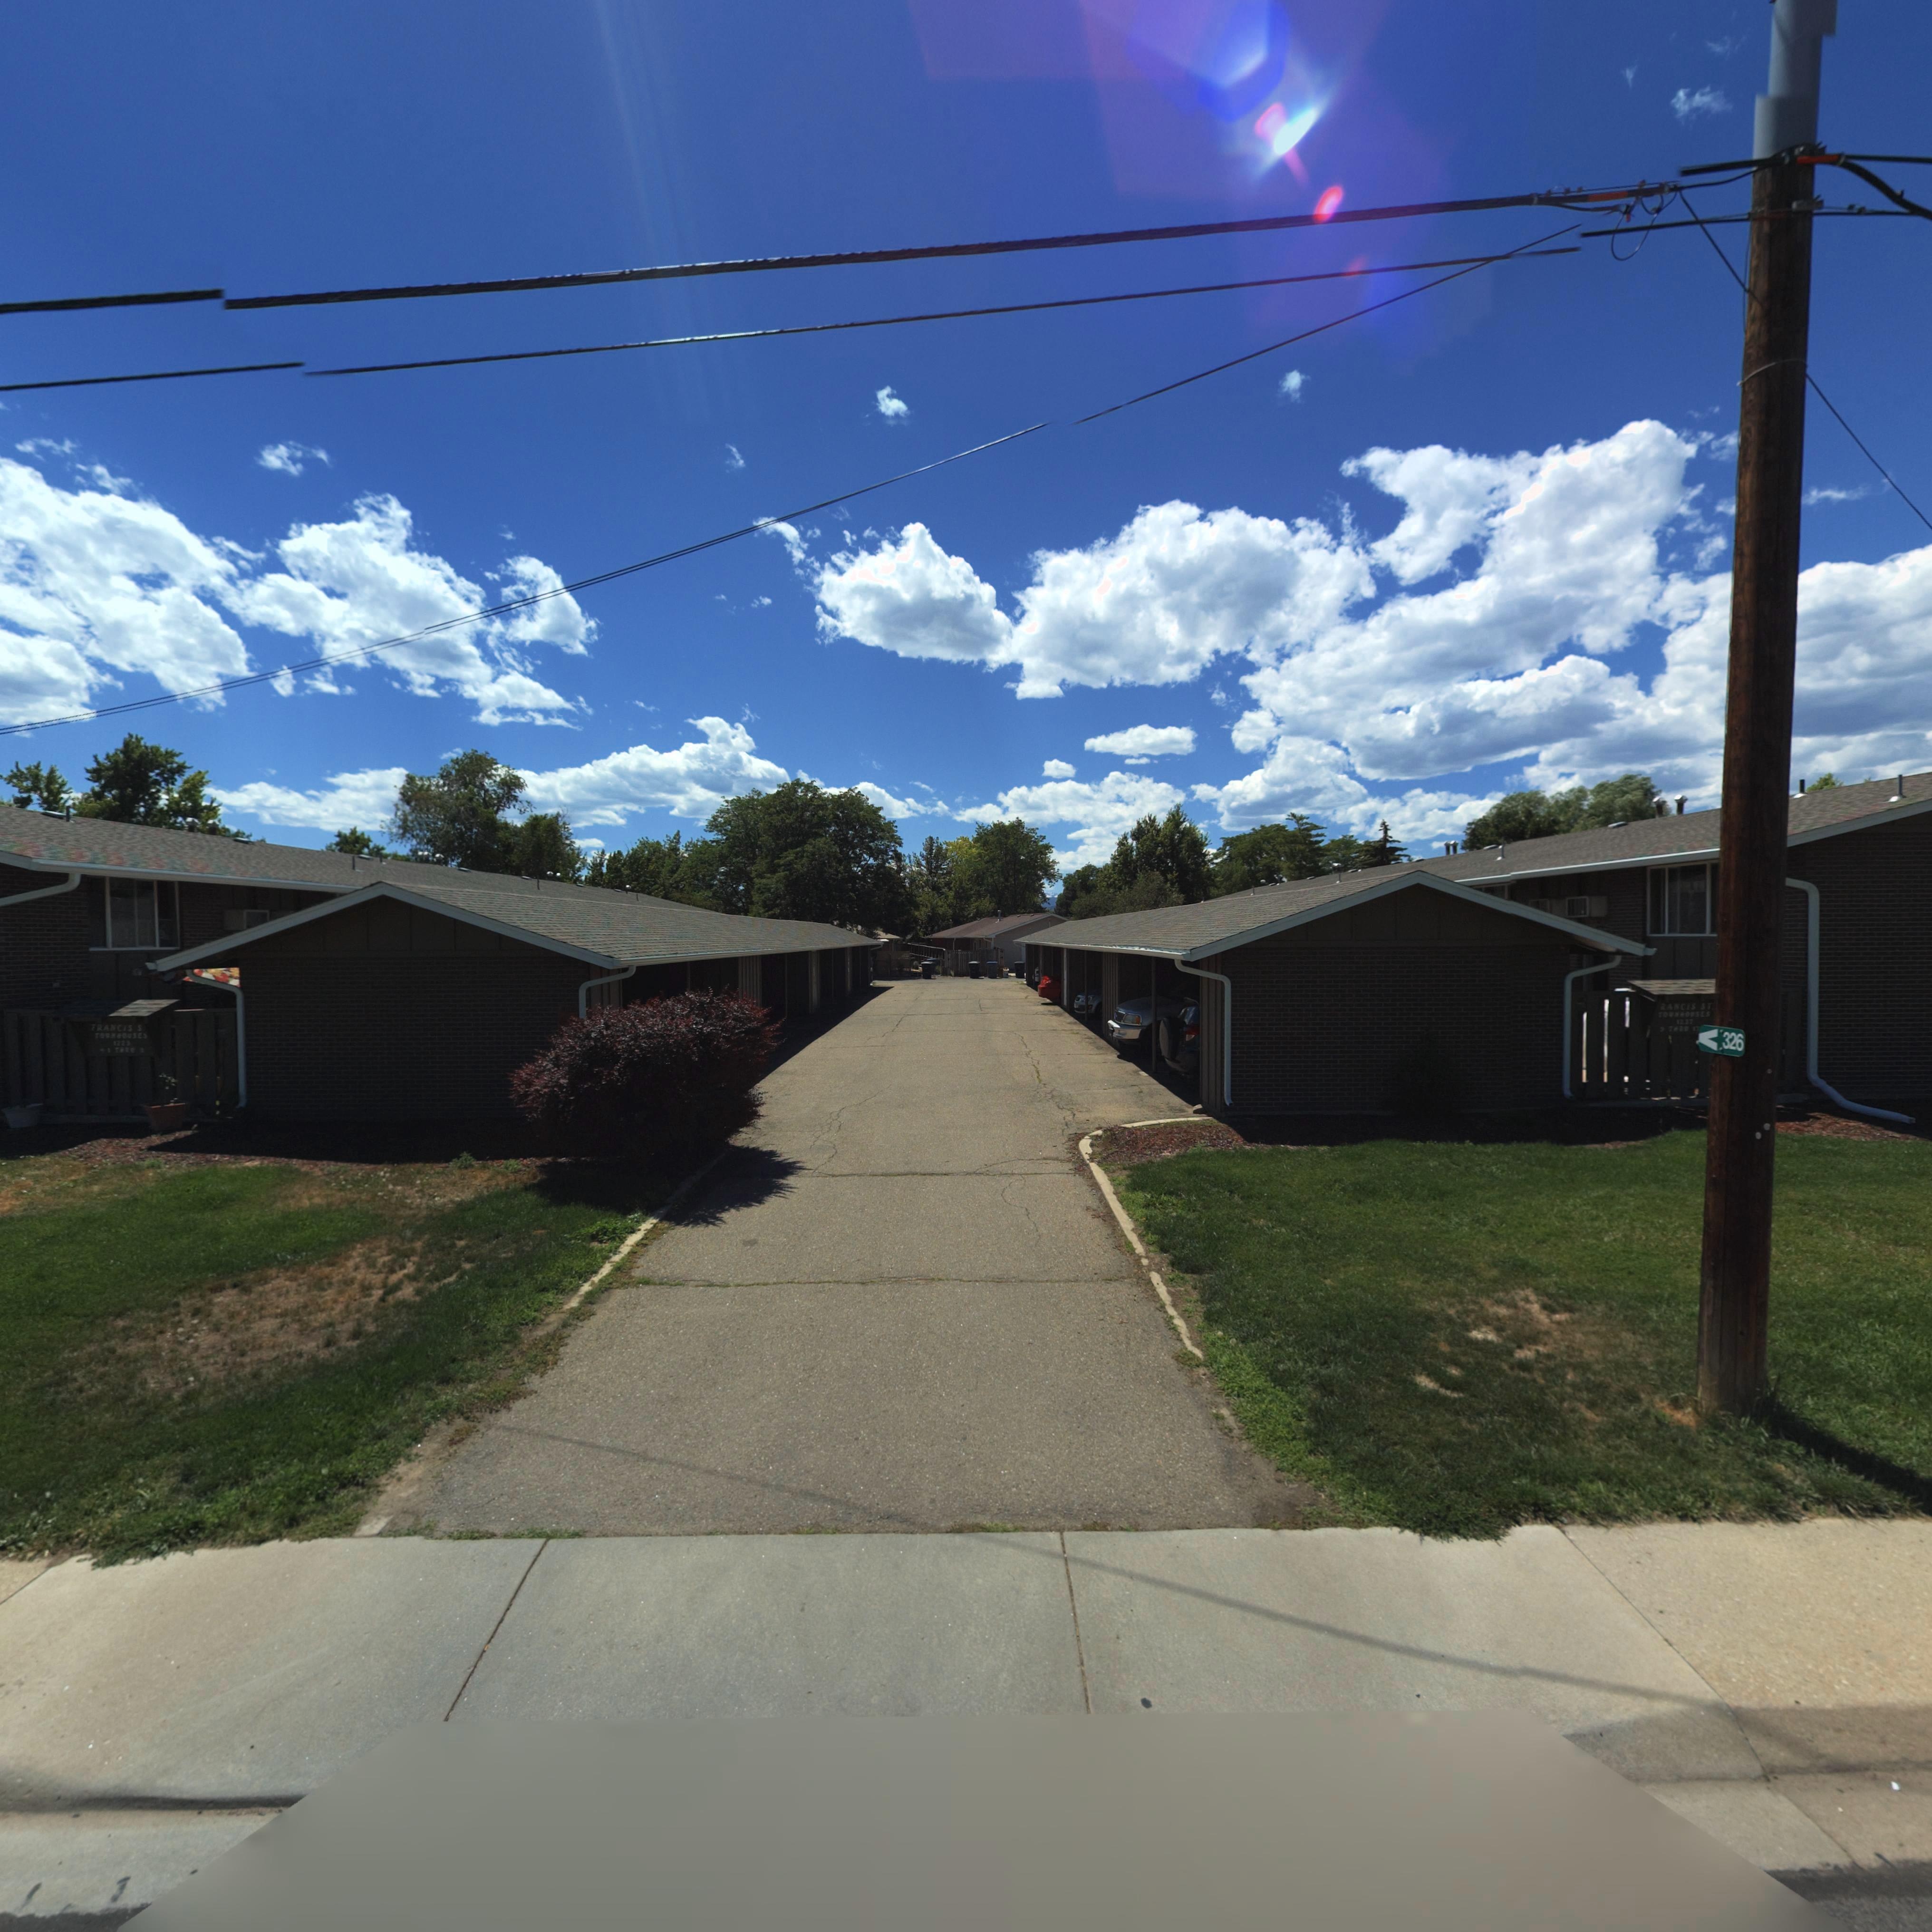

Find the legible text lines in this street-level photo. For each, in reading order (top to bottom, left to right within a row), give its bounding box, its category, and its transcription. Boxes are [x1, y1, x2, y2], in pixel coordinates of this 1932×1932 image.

[1659, 1002, 1712, 1010] BusinessName: RANCIS ST
[1658, 1011, 1711, 1018] BusinessName: TOWNHOUSES
[1677, 1019, 1693, 1024] StreetNumber: 1237
[90, 1023, 144, 1032] BusinessName: FRANCIS S
[1659, 1026, 1665, 1033] StreetNumber: 9
[1692, 1026, 1700, 1032] StreetNumber: 1*
[94, 1032, 148, 1039] BusinessName: TOWNHOUSES
[112, 1040, 131, 1046] StreetNumber: 12**
[107, 1047, 111, 1053] StreetNumber: 1